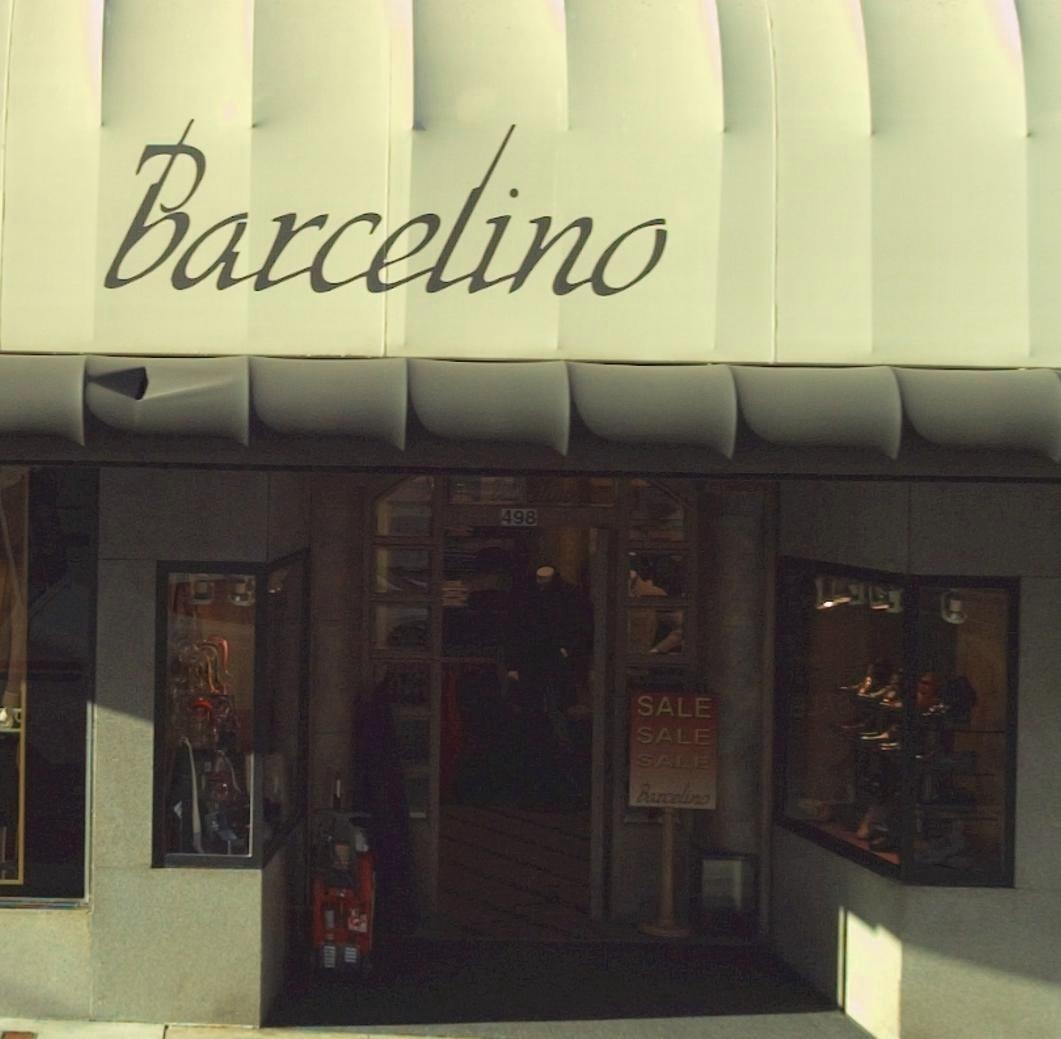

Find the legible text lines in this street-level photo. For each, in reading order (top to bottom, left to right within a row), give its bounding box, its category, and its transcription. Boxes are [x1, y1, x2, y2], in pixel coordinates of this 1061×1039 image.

[98, 114, 671, 302] BusinessName: Barcelino
[500, 508, 537, 527] StreetNumber: 498
[636, 693, 714, 722] None: SALE
[633, 723, 714, 748] None: SALE
[633, 751, 711, 773] None: SALE
[633, 781, 712, 808] BusinessName: Barcelino